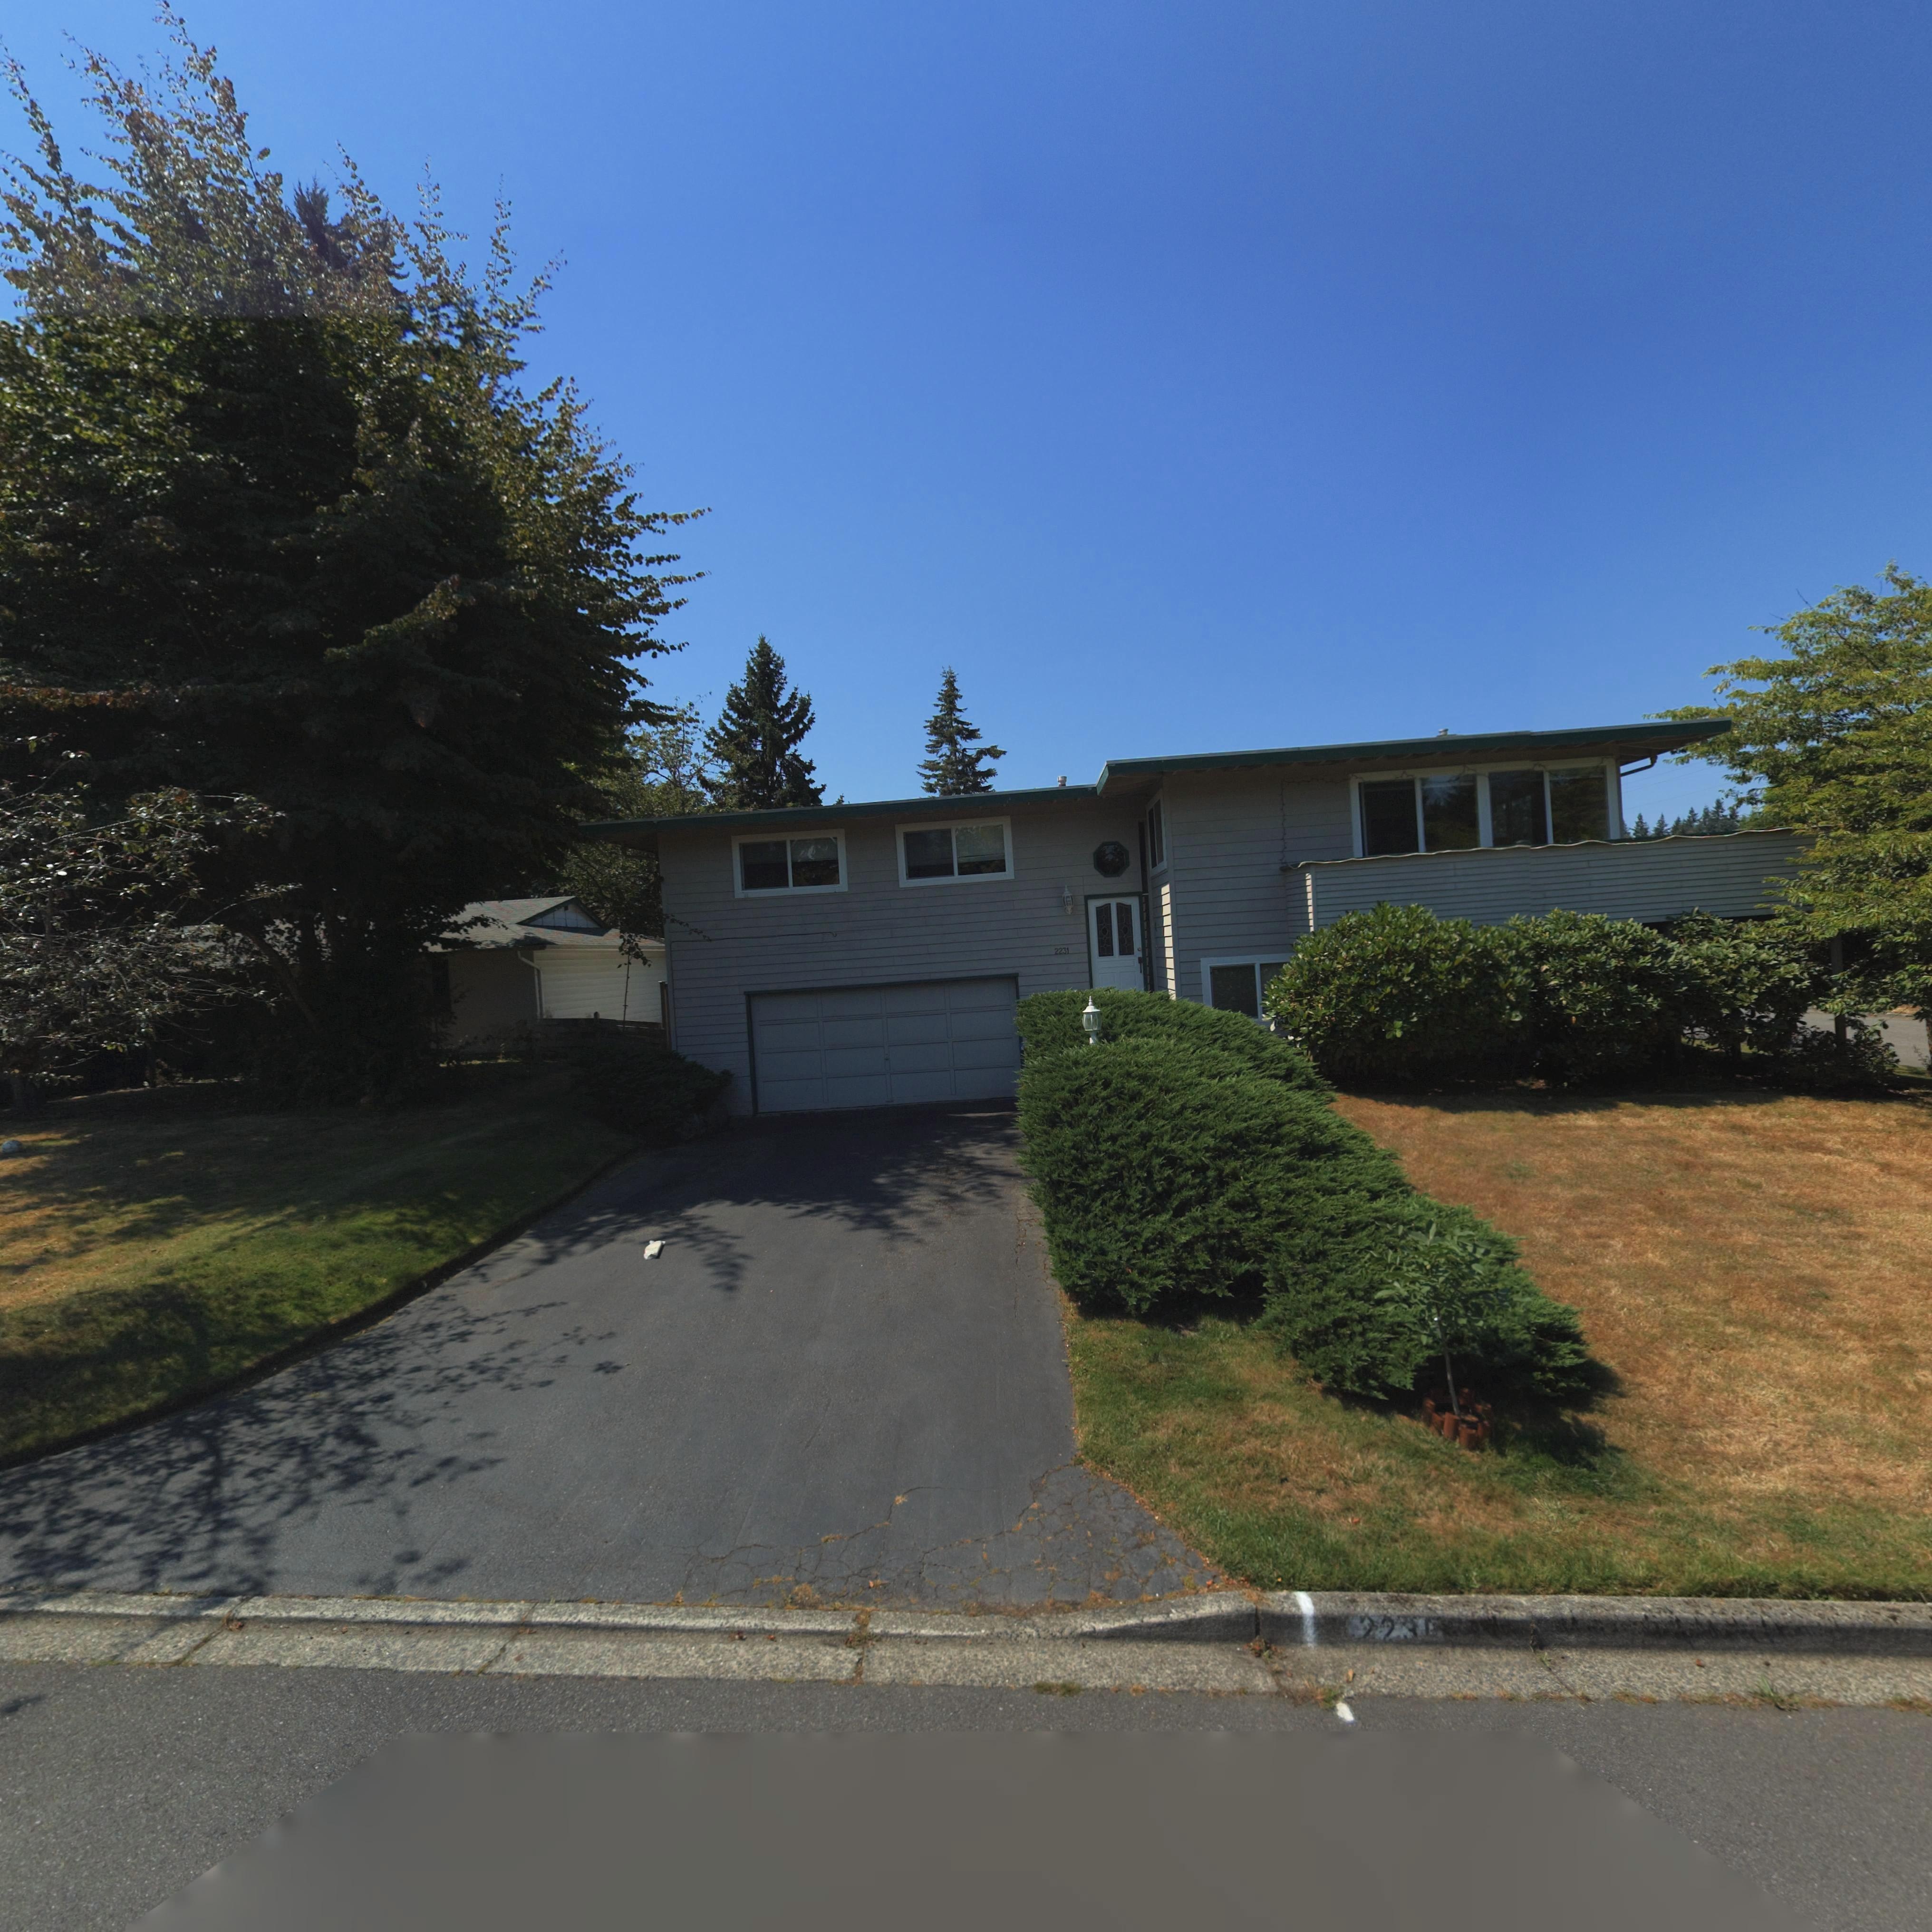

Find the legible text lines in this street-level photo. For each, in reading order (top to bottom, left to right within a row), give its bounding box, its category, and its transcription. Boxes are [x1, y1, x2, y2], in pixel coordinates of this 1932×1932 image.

[1054, 946, 1069, 955] StreetNumber: 2231
[1360, 1615, 1432, 1641] StreetNumber: 2231